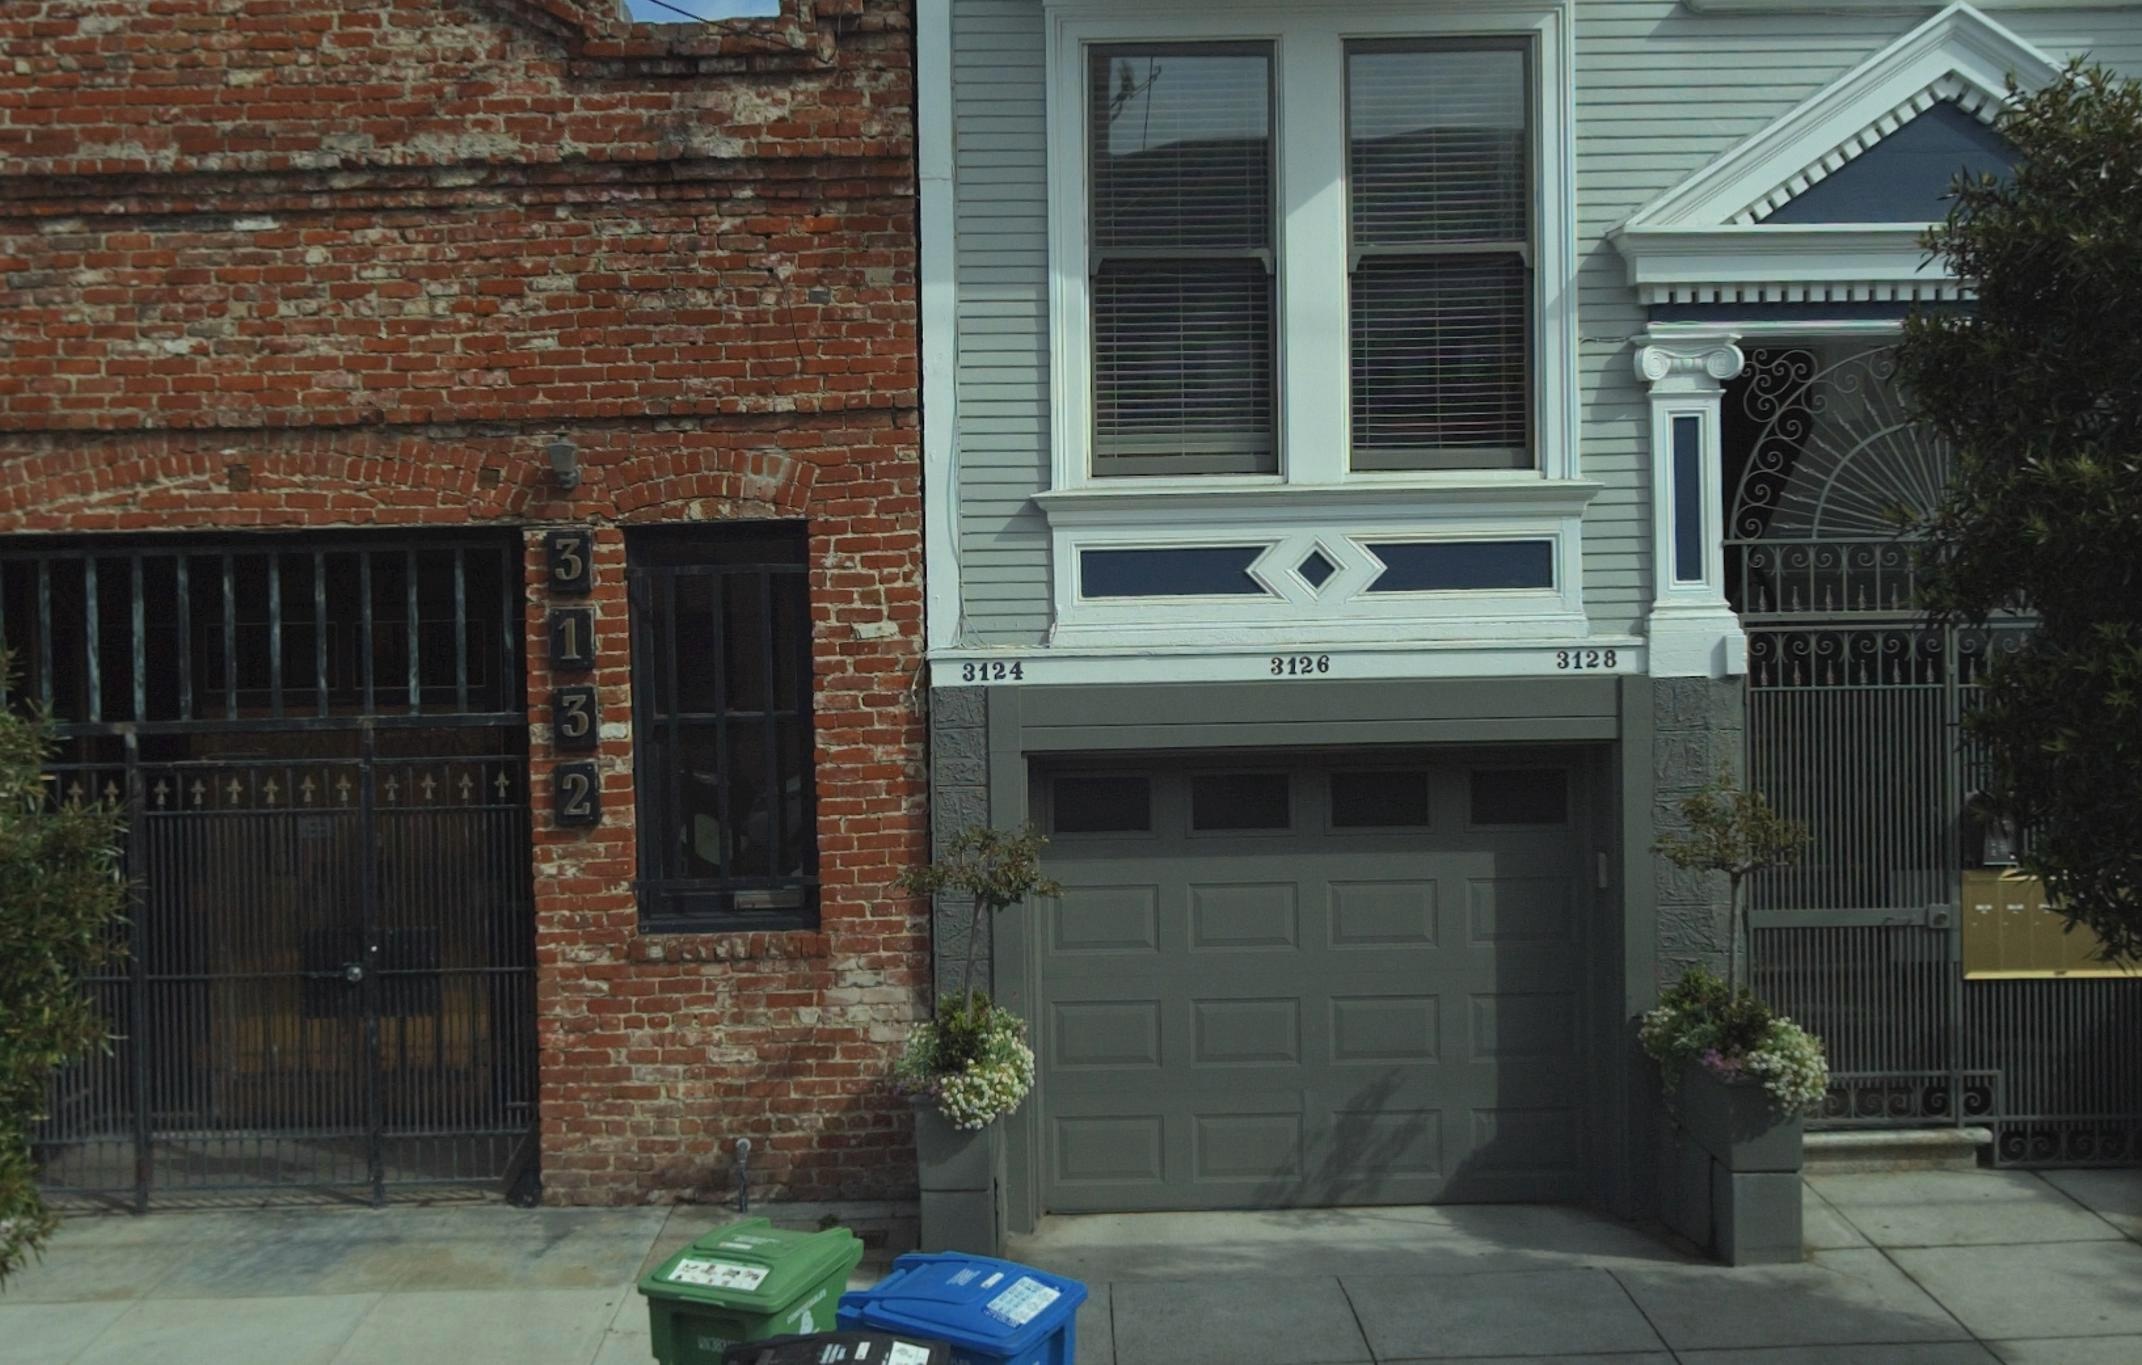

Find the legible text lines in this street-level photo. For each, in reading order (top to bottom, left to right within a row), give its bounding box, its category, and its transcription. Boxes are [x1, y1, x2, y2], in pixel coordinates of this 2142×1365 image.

[549, 535, 597, 822] StreetNumber: 3132
[960, 657, 1026, 685] StreetNumber: 3124
[1268, 652, 1333, 679] StreetNumber: 3126
[1555, 647, 1619, 672] StreetNumber: 3128